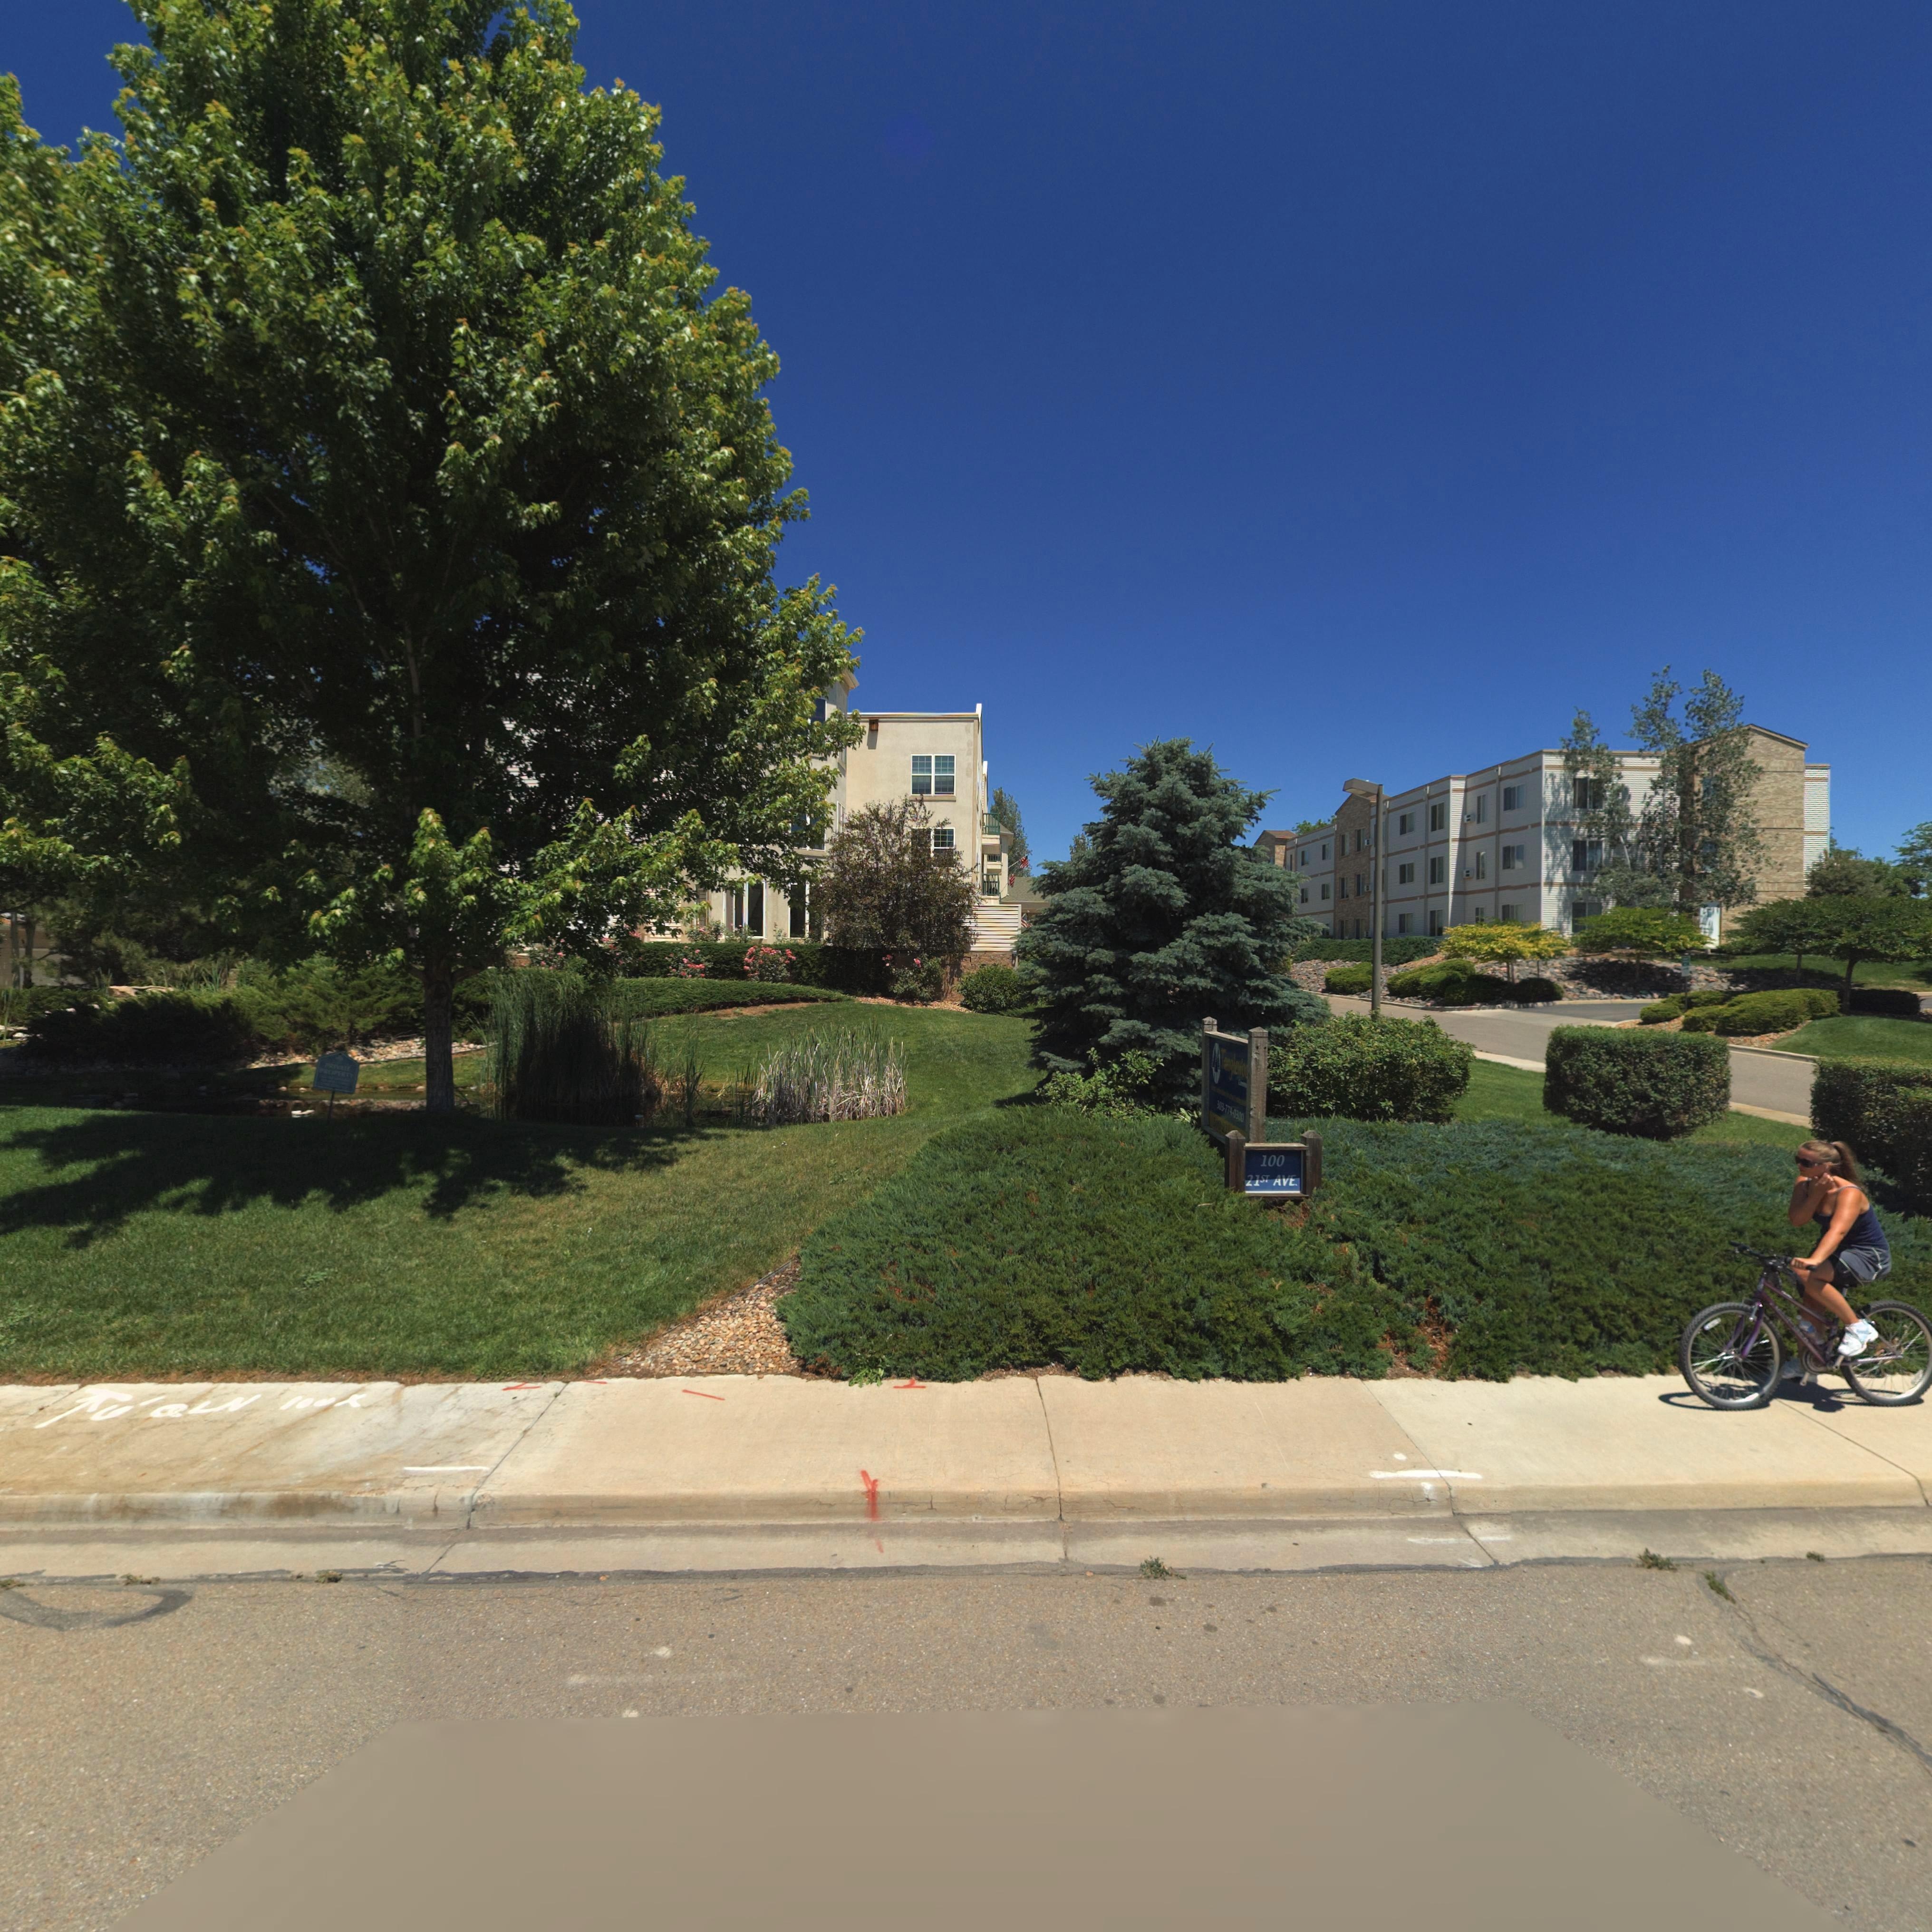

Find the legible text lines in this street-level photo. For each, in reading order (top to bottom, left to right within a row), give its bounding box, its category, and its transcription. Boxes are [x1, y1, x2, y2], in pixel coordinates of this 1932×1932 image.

[1211, 1116, 1222, 1130] StreetNumber: 100
[1220, 1121, 1236, 1135] StreetName: 21S*
[1259, 1155, 1285, 1167] StreetNumber: 100
[1245, 1174, 1298, 1186] StreetName: 21ST AVE.